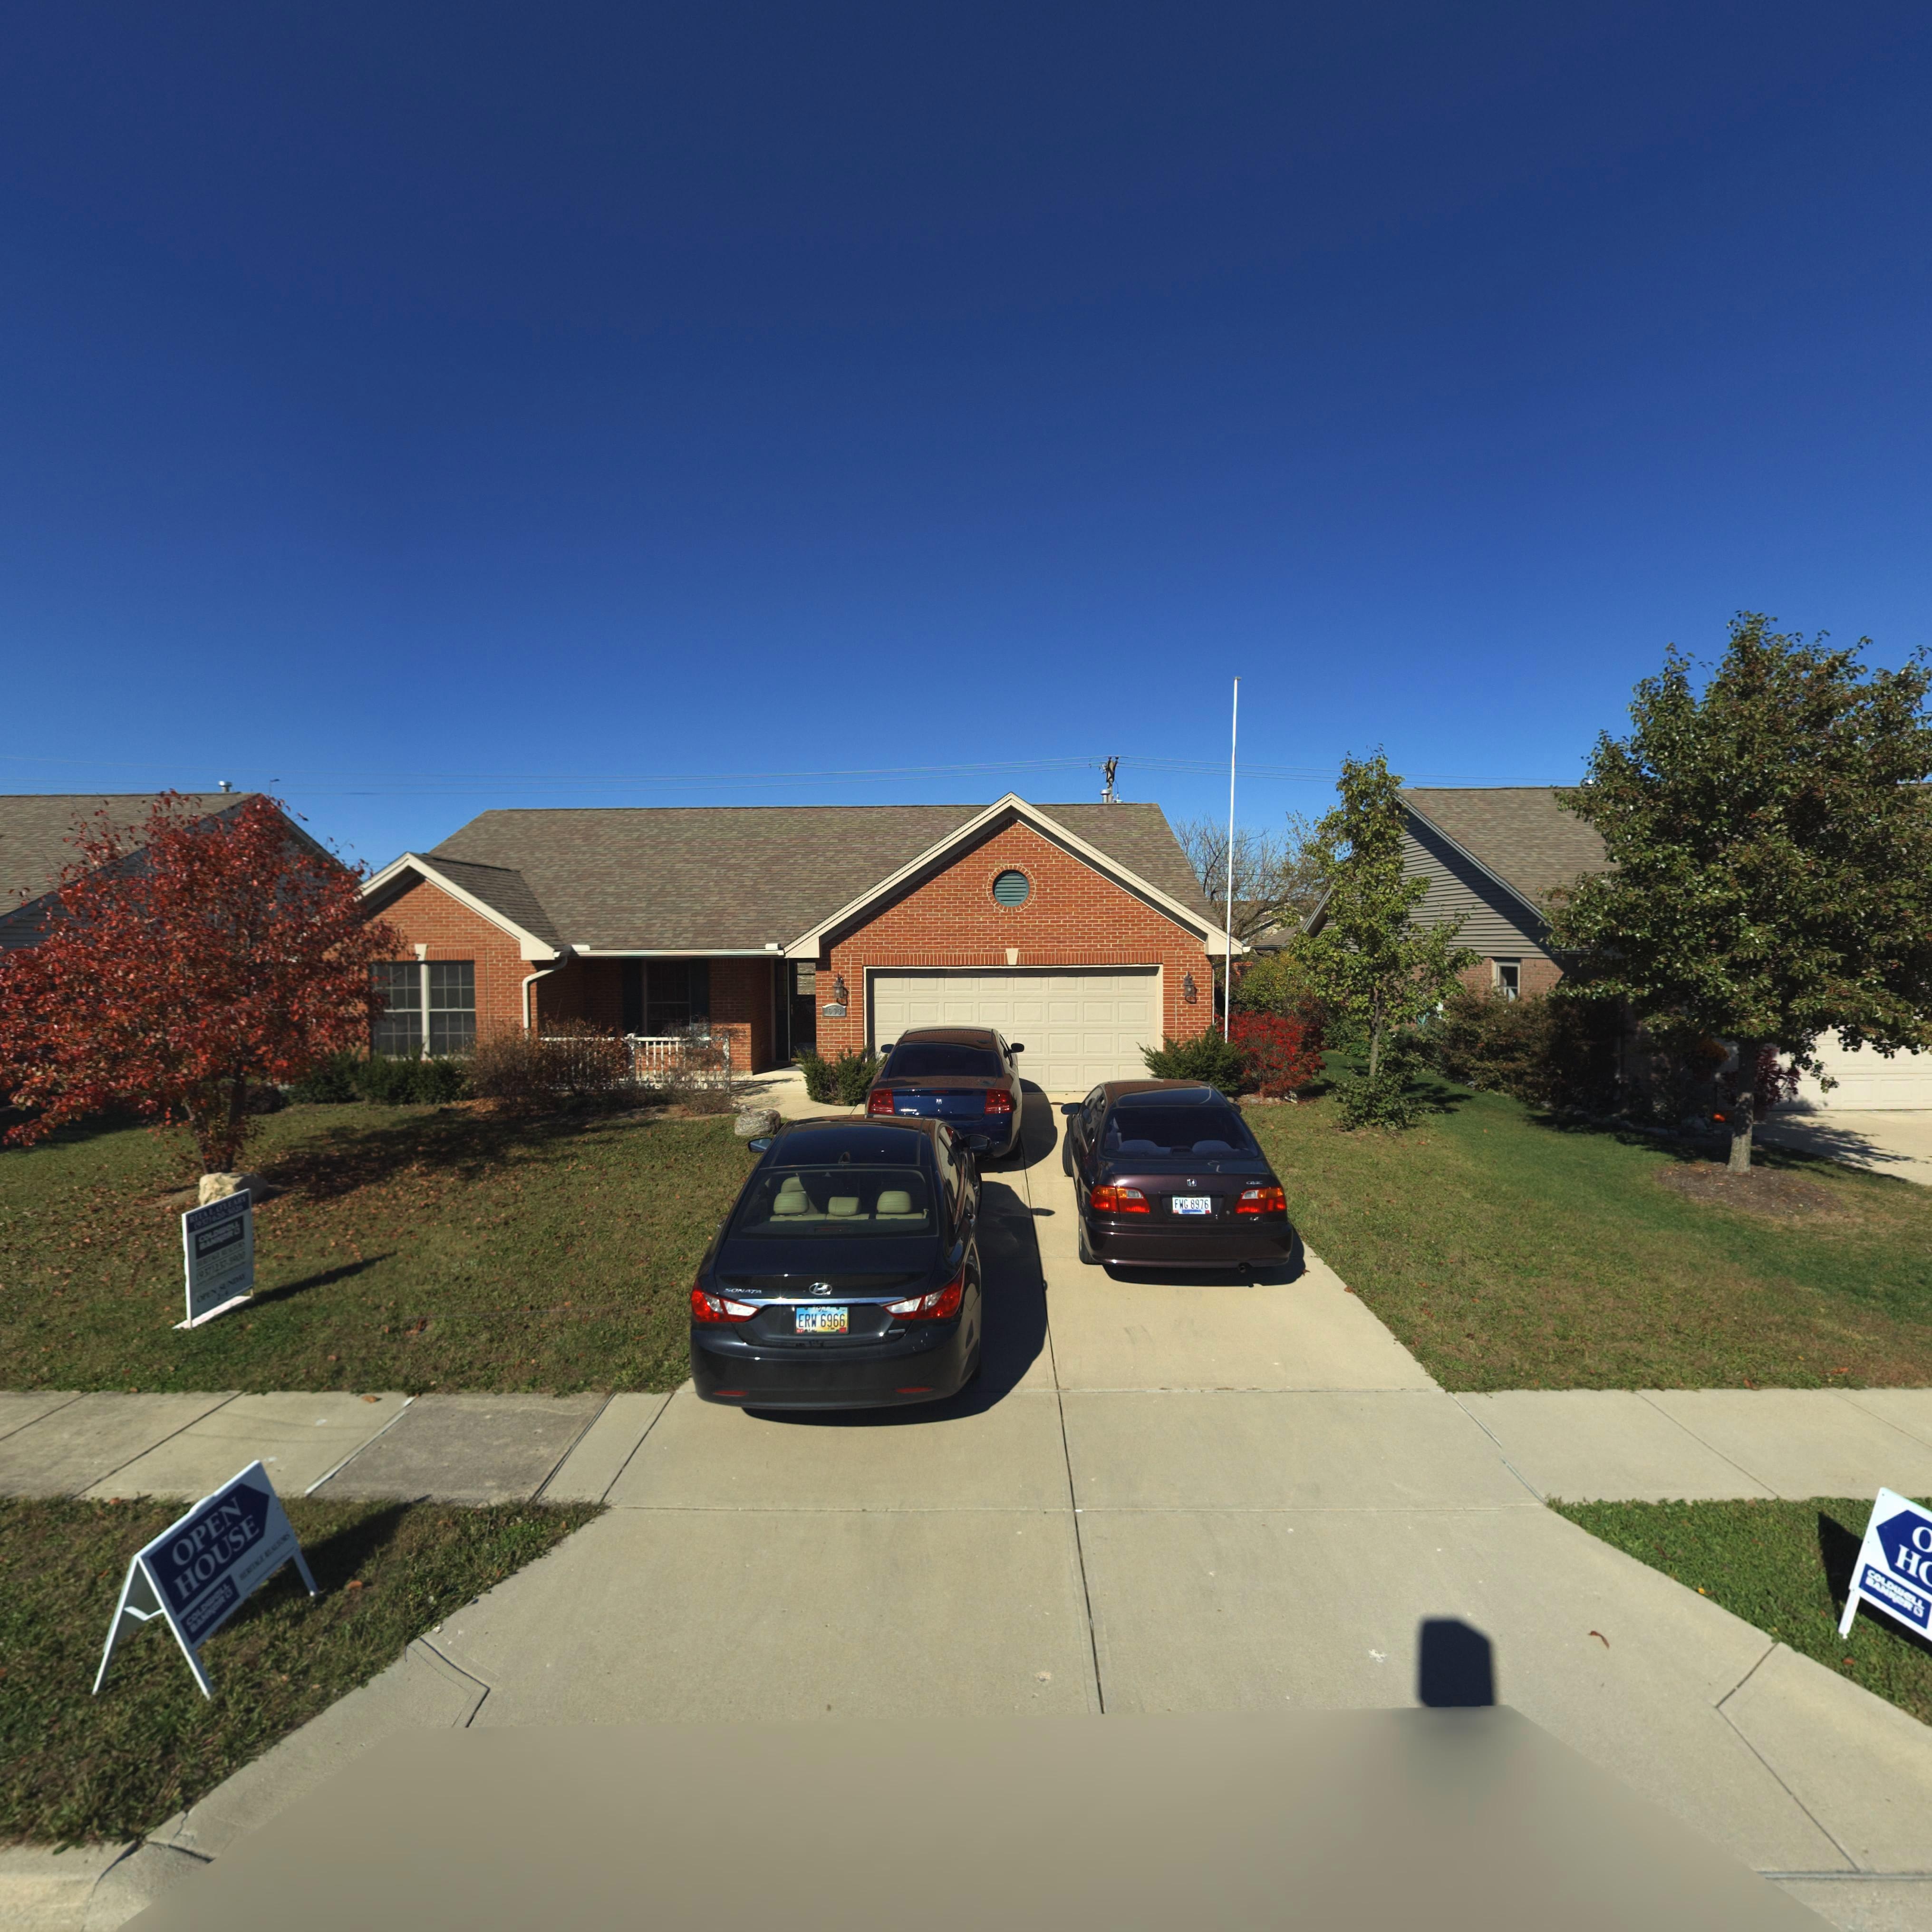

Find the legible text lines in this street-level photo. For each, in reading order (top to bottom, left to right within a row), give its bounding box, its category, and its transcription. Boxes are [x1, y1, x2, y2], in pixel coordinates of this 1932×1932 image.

[826, 1006, 842, 1016] StreetNumber: 6*3
[1245, 1180, 1264, 1185] None: CIVIC
[1174, 1198, 1210, 1209] None: FWG*8976
[198, 1230, 234, 1252] None: BANKeR
[198, 1219, 241, 1244] None: COLDWeLL
[195, 1270, 247, 1305] None: OPEN SUNDAY
[722, 1286, 763, 1295] None: SONATA
[798, 1313, 846, 1329] None: ERW*6966
[170, 1493, 244, 1568] None: OPEN
[170, 1511, 262, 1603] None: HOUSE
[1893, 1542, 1924, 1580] None: H
[183, 1579, 233, 1628] None: COLDWeLL
[188, 1593, 228, 1635] None: BANKeR
[1864, 1575, 1915, 1613] None: BANKeR
[1865, 1567, 1926, 1611] None: COLDWeLL